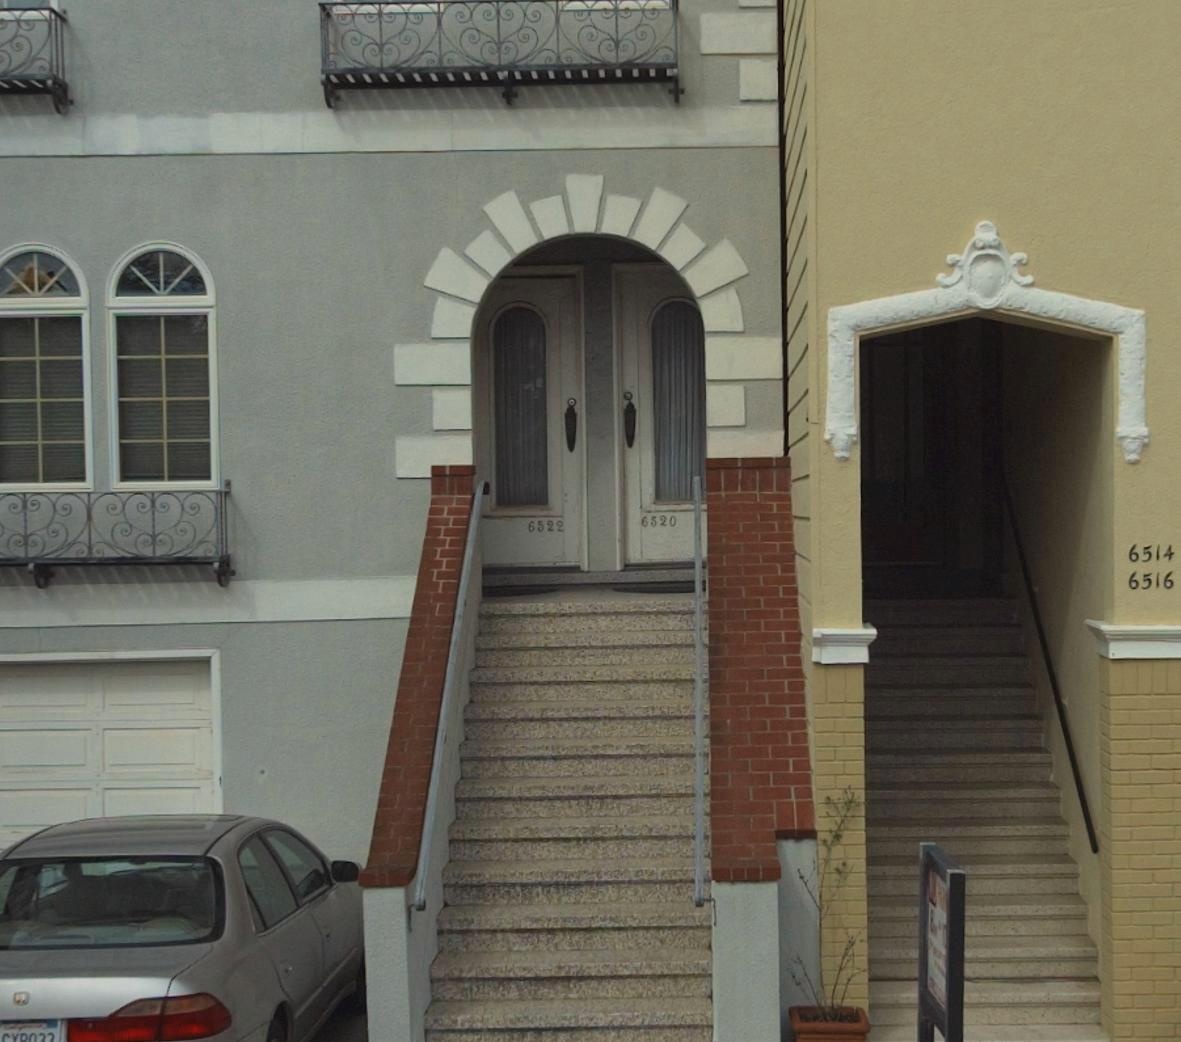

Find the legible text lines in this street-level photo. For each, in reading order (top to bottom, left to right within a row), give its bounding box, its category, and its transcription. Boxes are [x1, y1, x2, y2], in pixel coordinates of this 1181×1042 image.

[527, 519, 565, 532] StreetNumber: 6522
[641, 516, 677, 527] StreetNumber: 6520
[1128, 543, 1174, 563] StreetNumber: 6514
[1128, 570, 1175, 591] StreetNumber: 6516